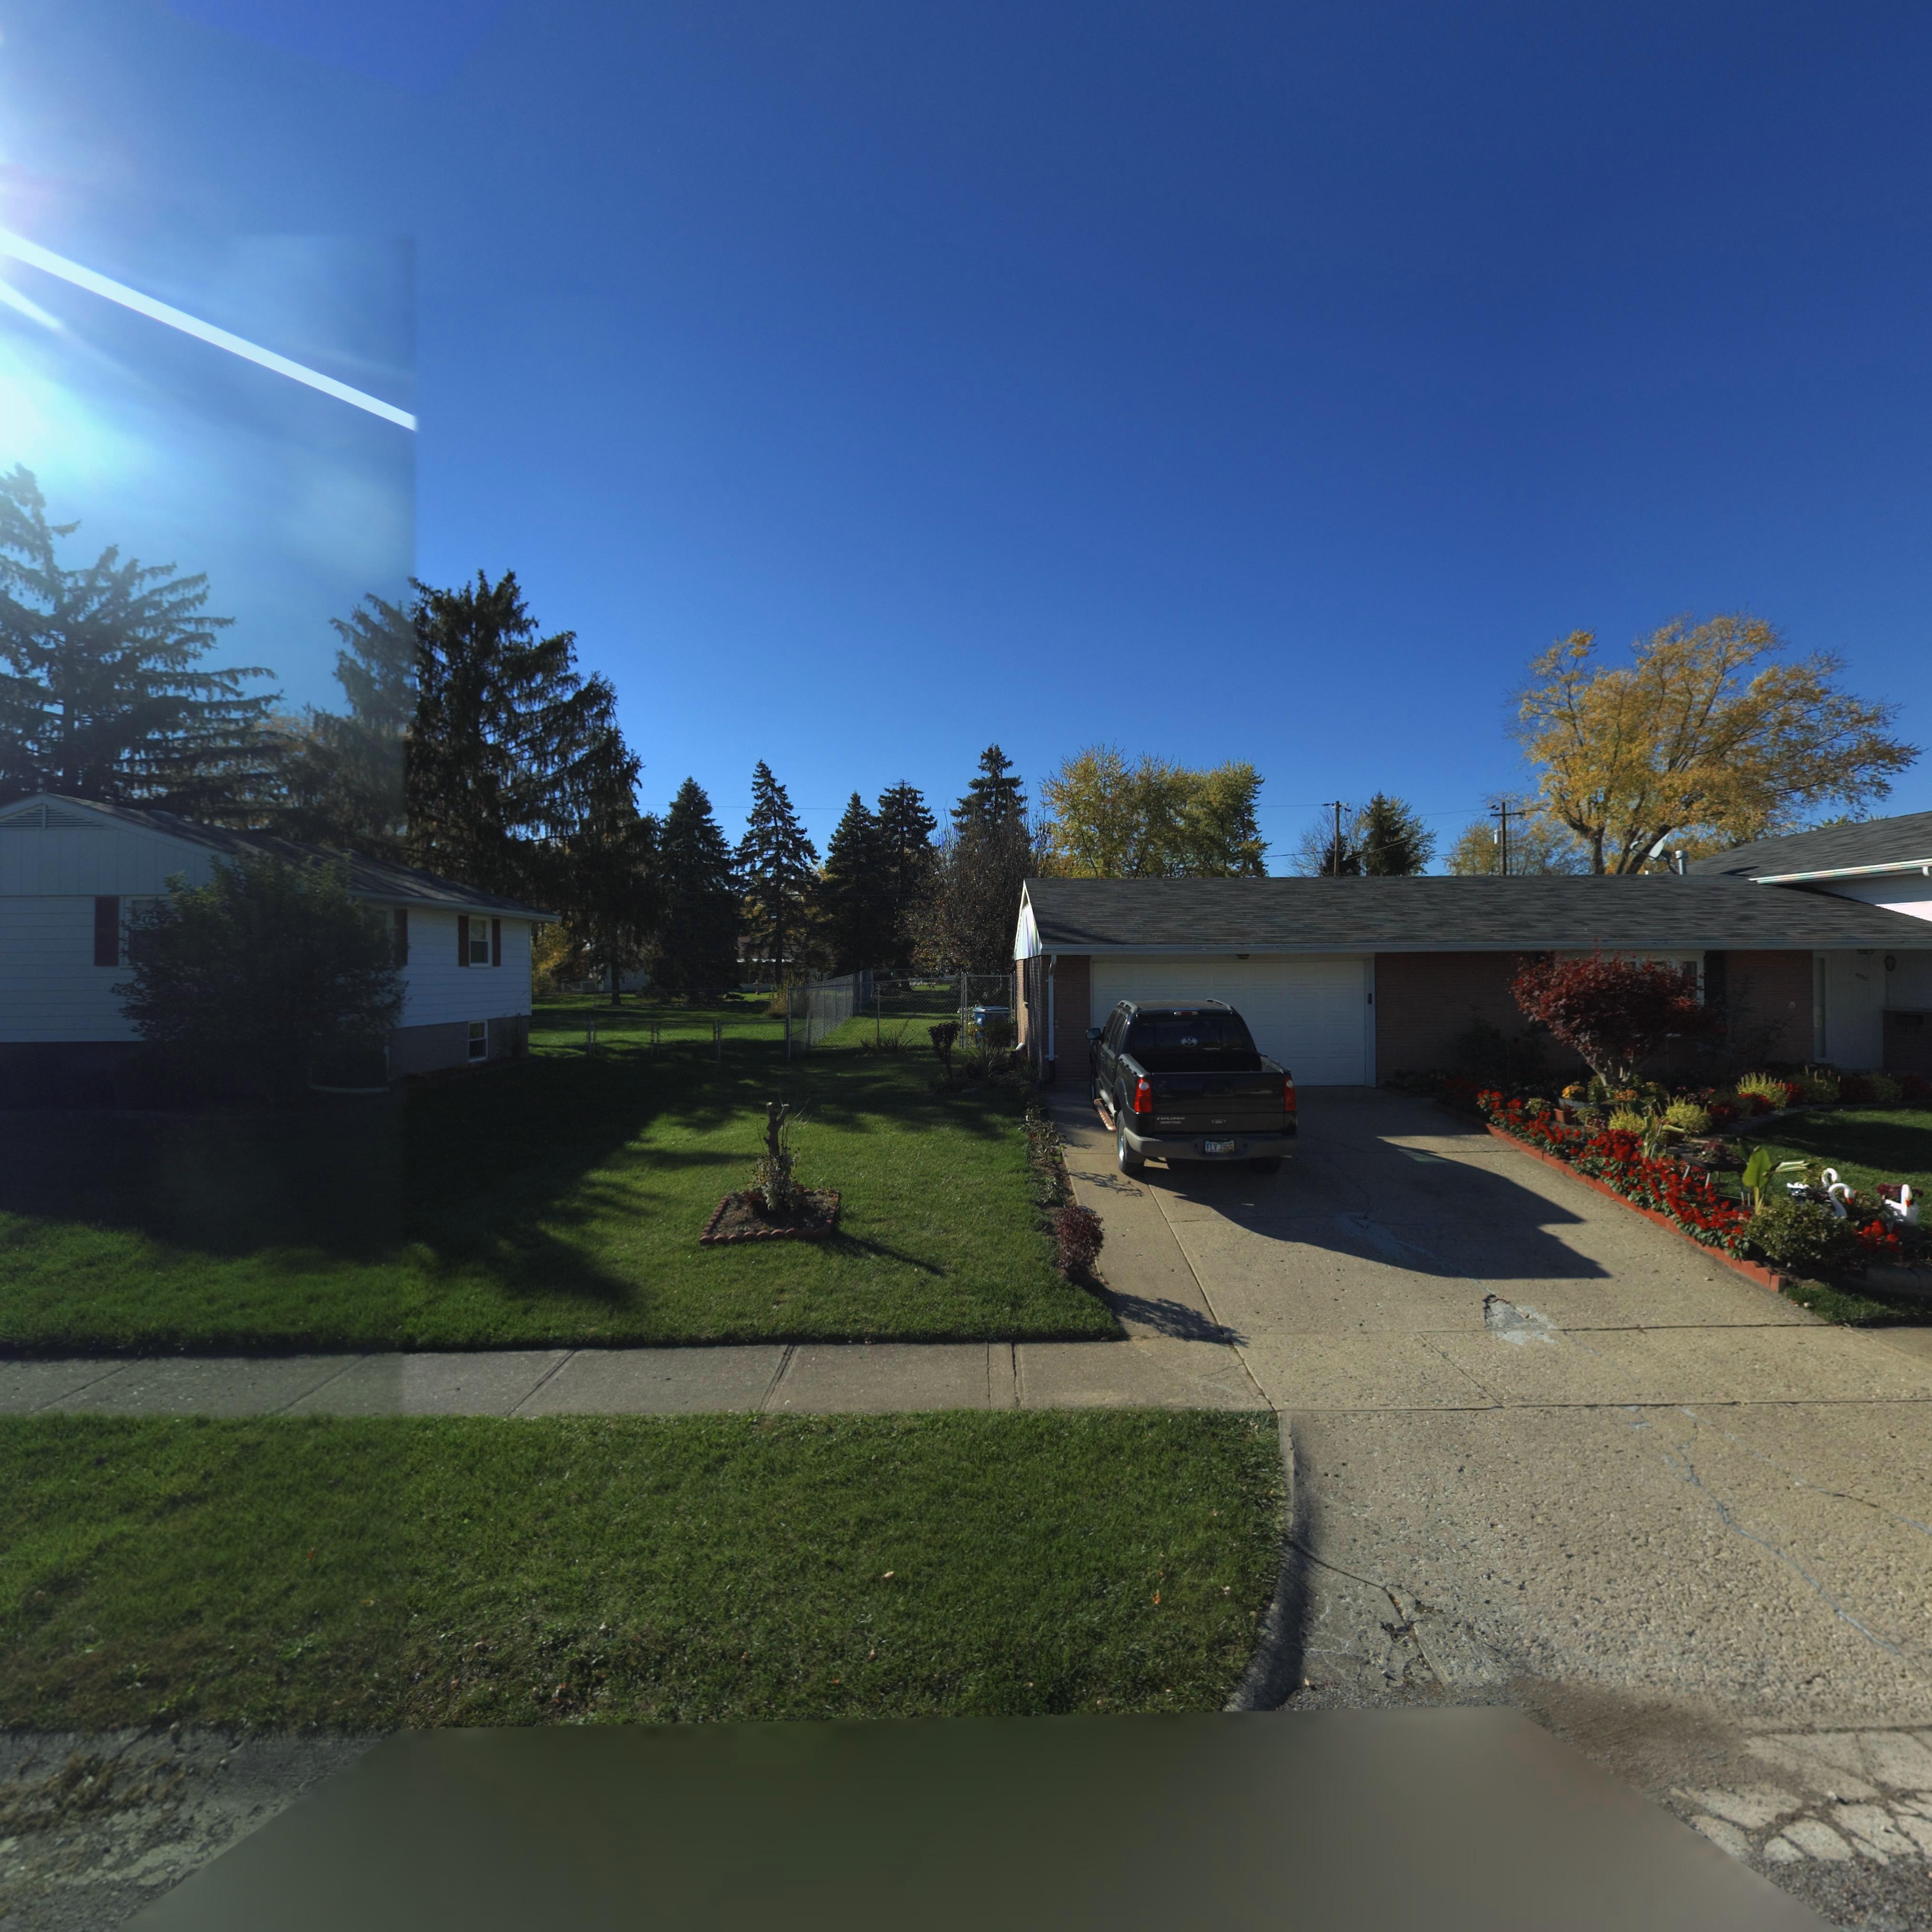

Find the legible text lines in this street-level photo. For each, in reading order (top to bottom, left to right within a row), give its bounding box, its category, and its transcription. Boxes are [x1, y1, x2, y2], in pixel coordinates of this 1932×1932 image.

[1855, 971, 1869, 982] StreetNumber: 6*3*